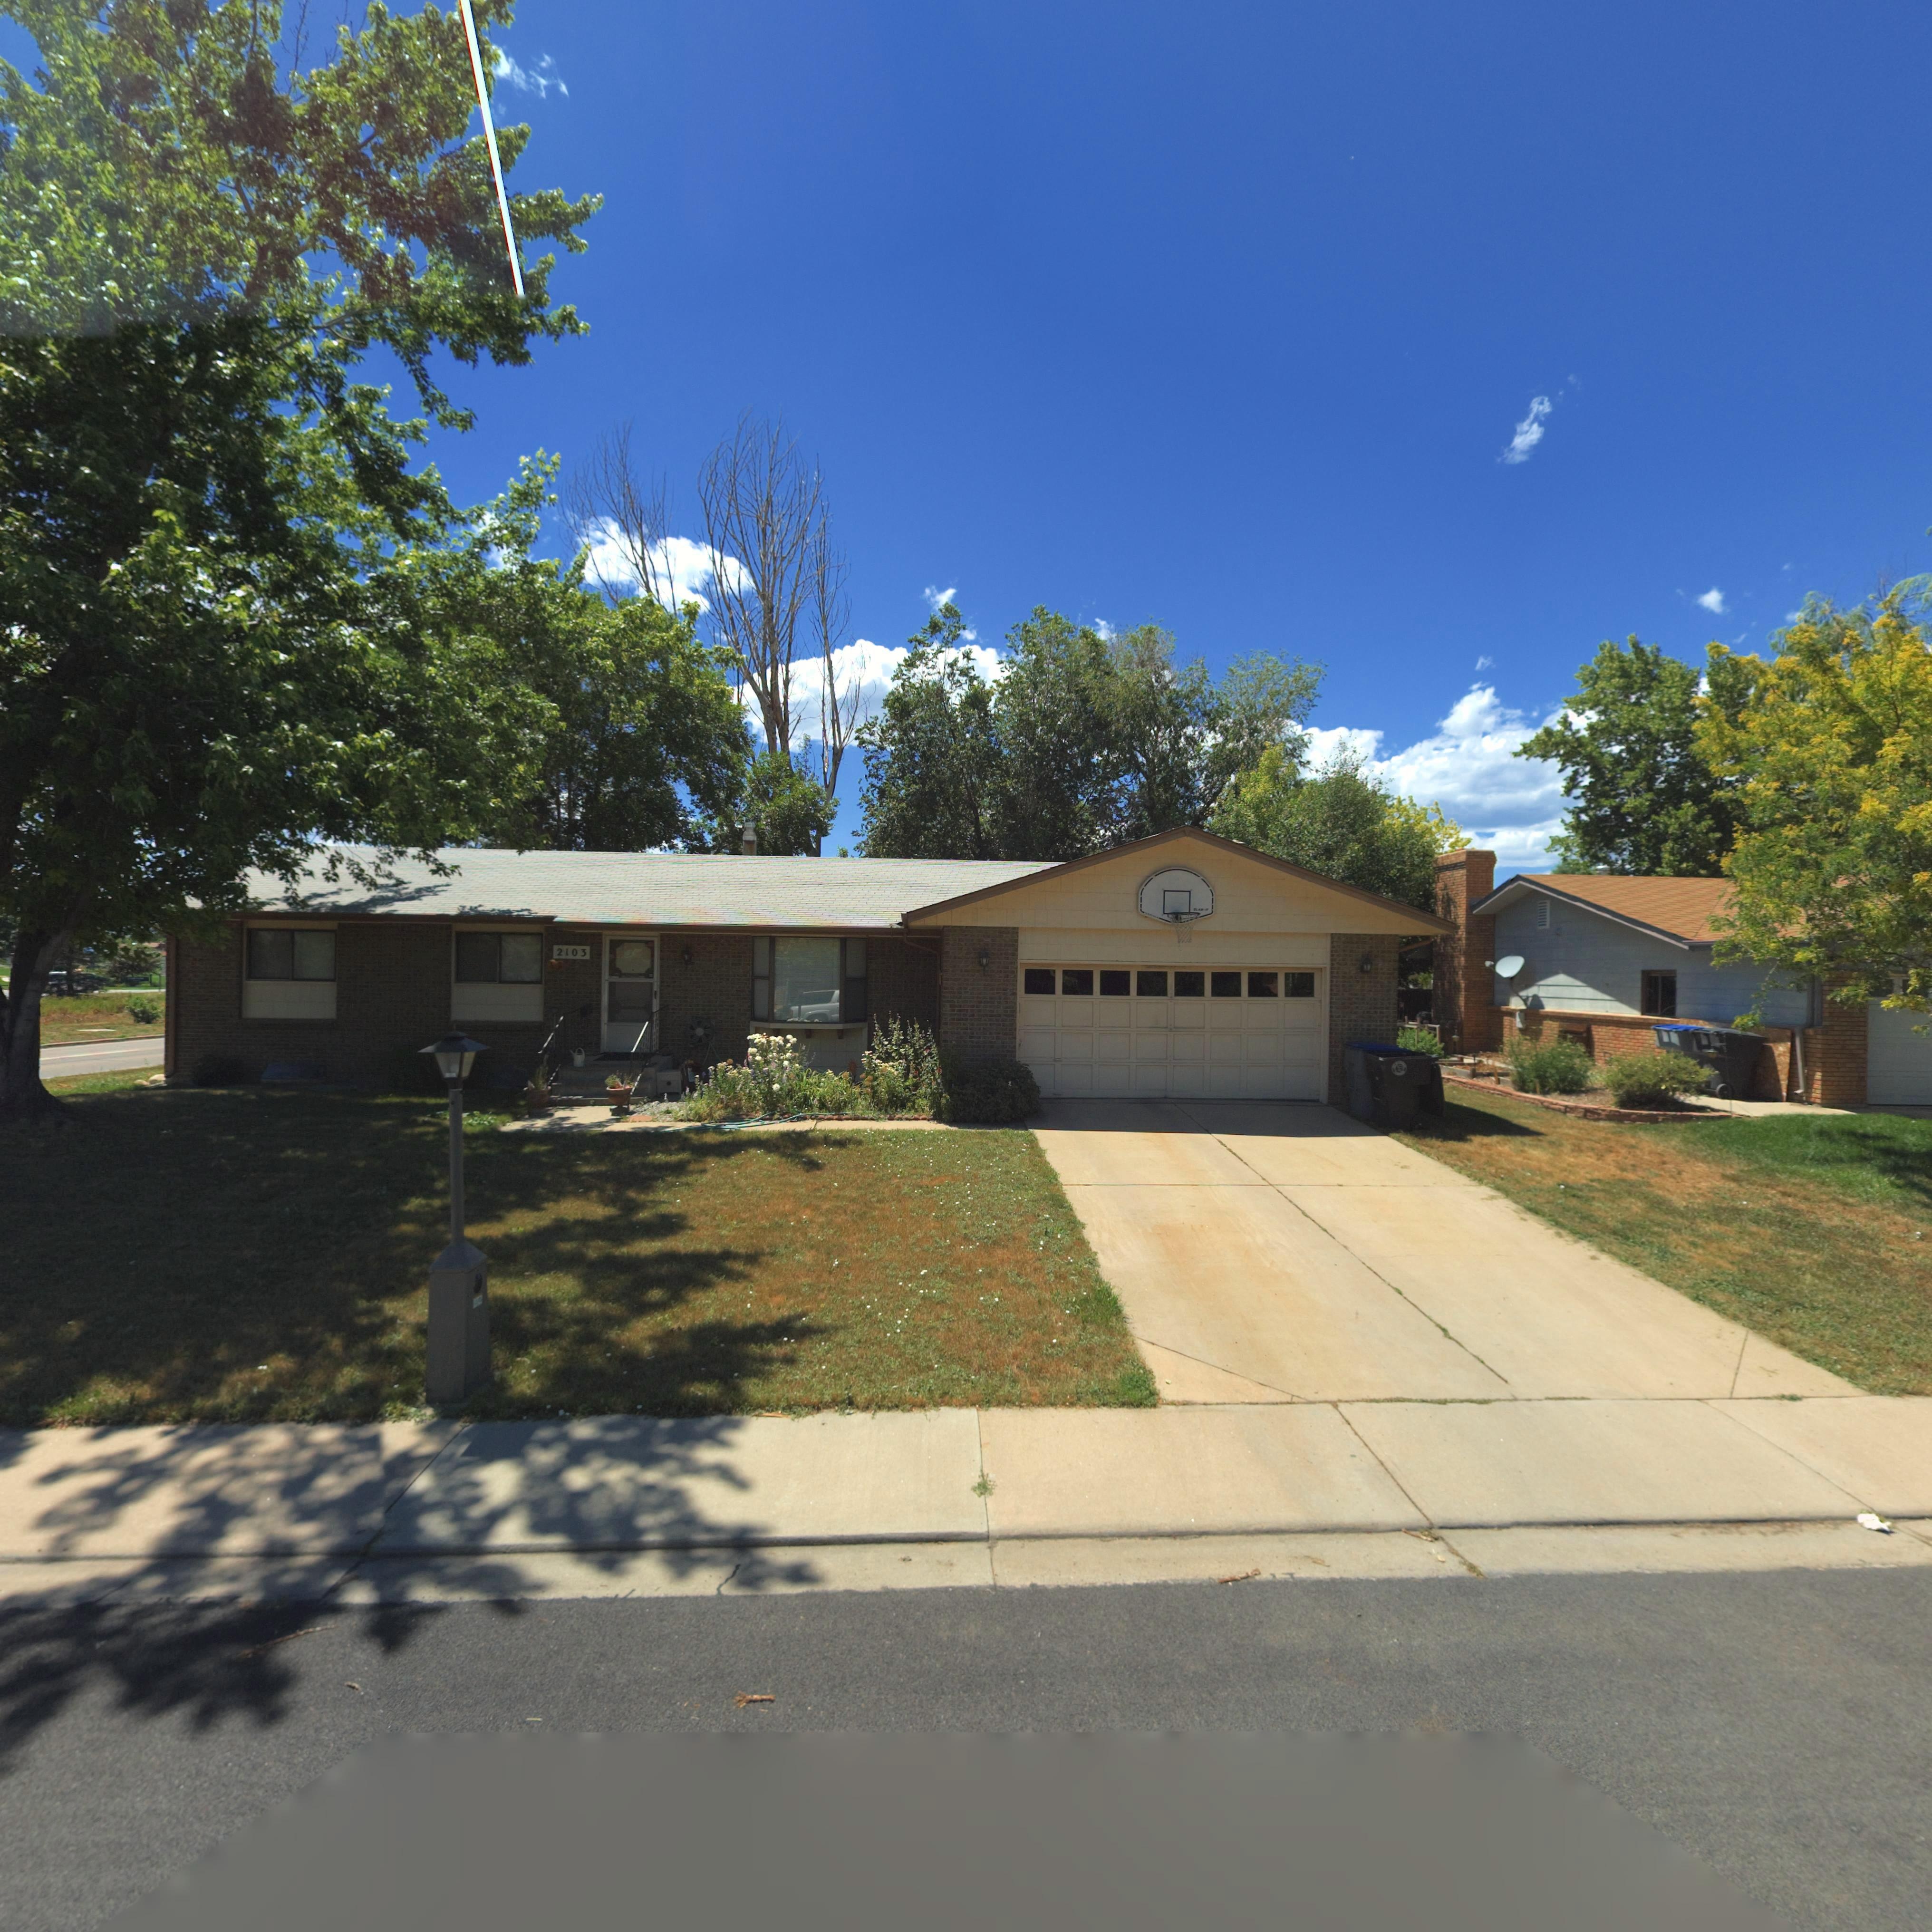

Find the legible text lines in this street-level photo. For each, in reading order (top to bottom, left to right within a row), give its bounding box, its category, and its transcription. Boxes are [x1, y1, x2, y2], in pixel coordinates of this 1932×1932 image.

[556, 947, 587, 957] StreetNumber: 2103